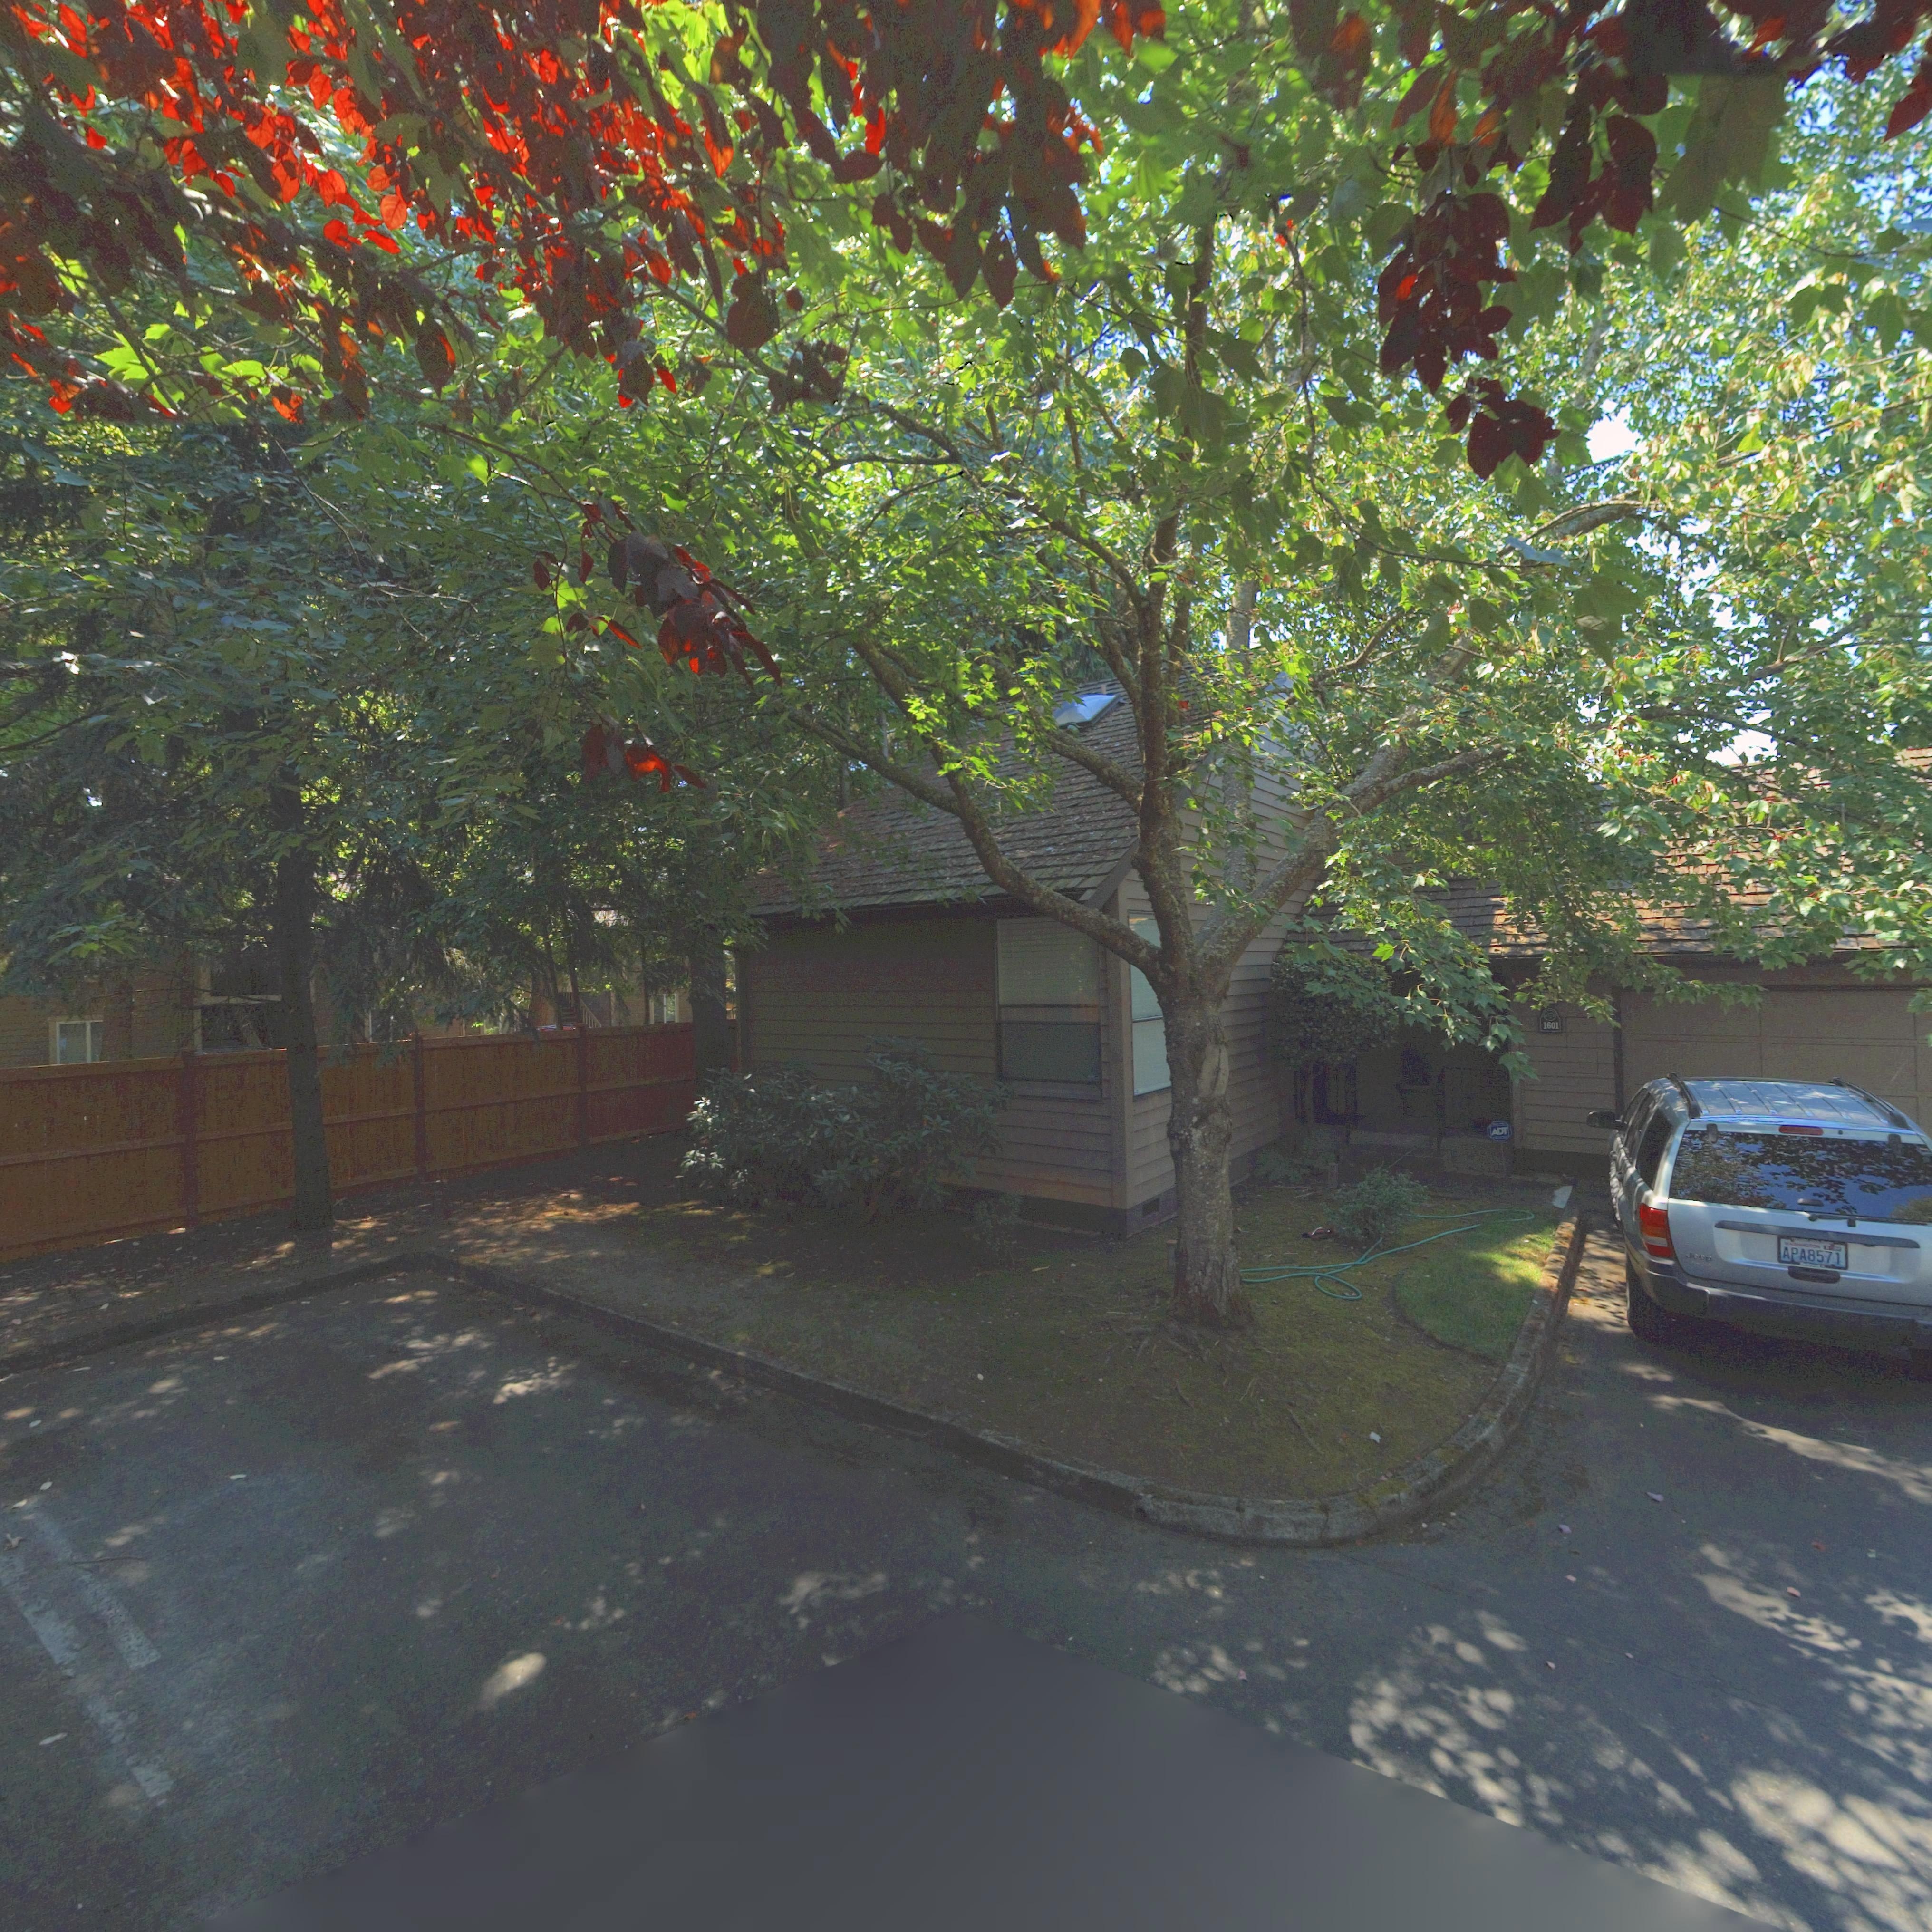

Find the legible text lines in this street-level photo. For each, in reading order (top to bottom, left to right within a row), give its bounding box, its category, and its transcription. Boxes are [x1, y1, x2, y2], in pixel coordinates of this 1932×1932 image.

[1542, 1021, 1560, 1030] StreetNumber: 1601